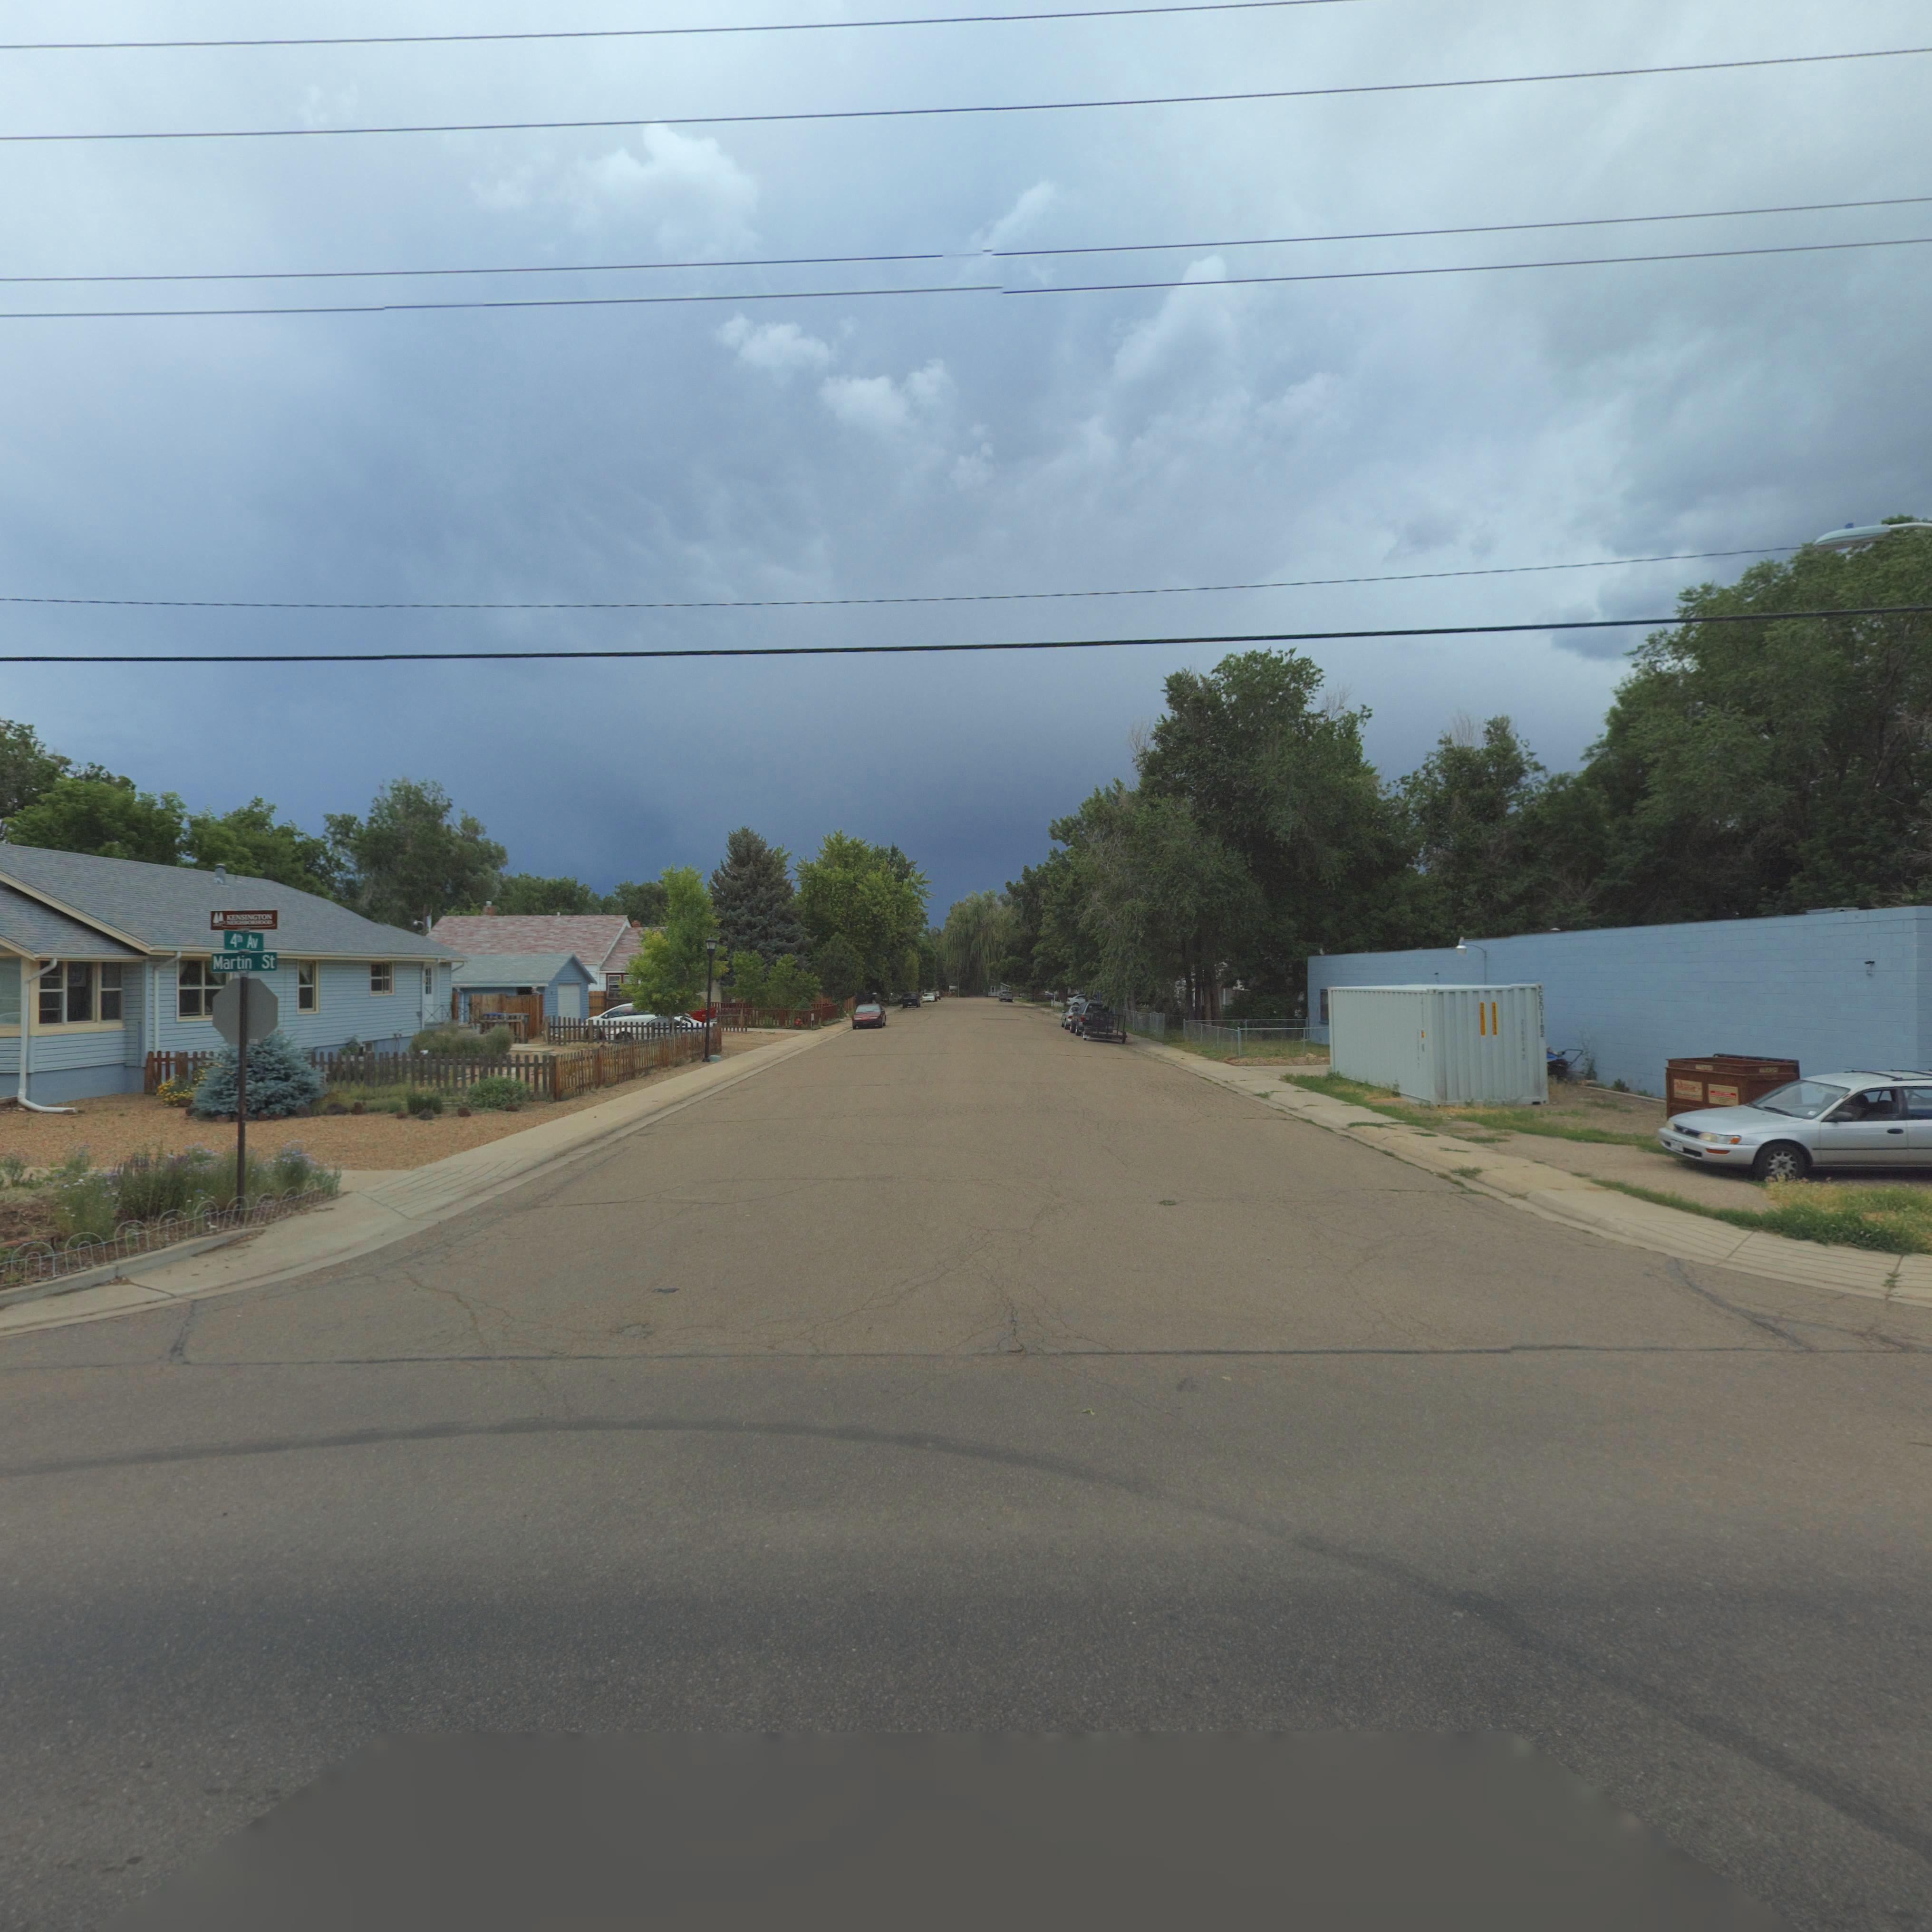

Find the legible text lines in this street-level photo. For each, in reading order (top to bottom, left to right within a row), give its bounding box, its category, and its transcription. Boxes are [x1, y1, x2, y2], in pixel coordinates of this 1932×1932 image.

[230, 933, 258, 948] StreetName: 4th Av
[213, 955, 274, 969] StreetName: Martin St